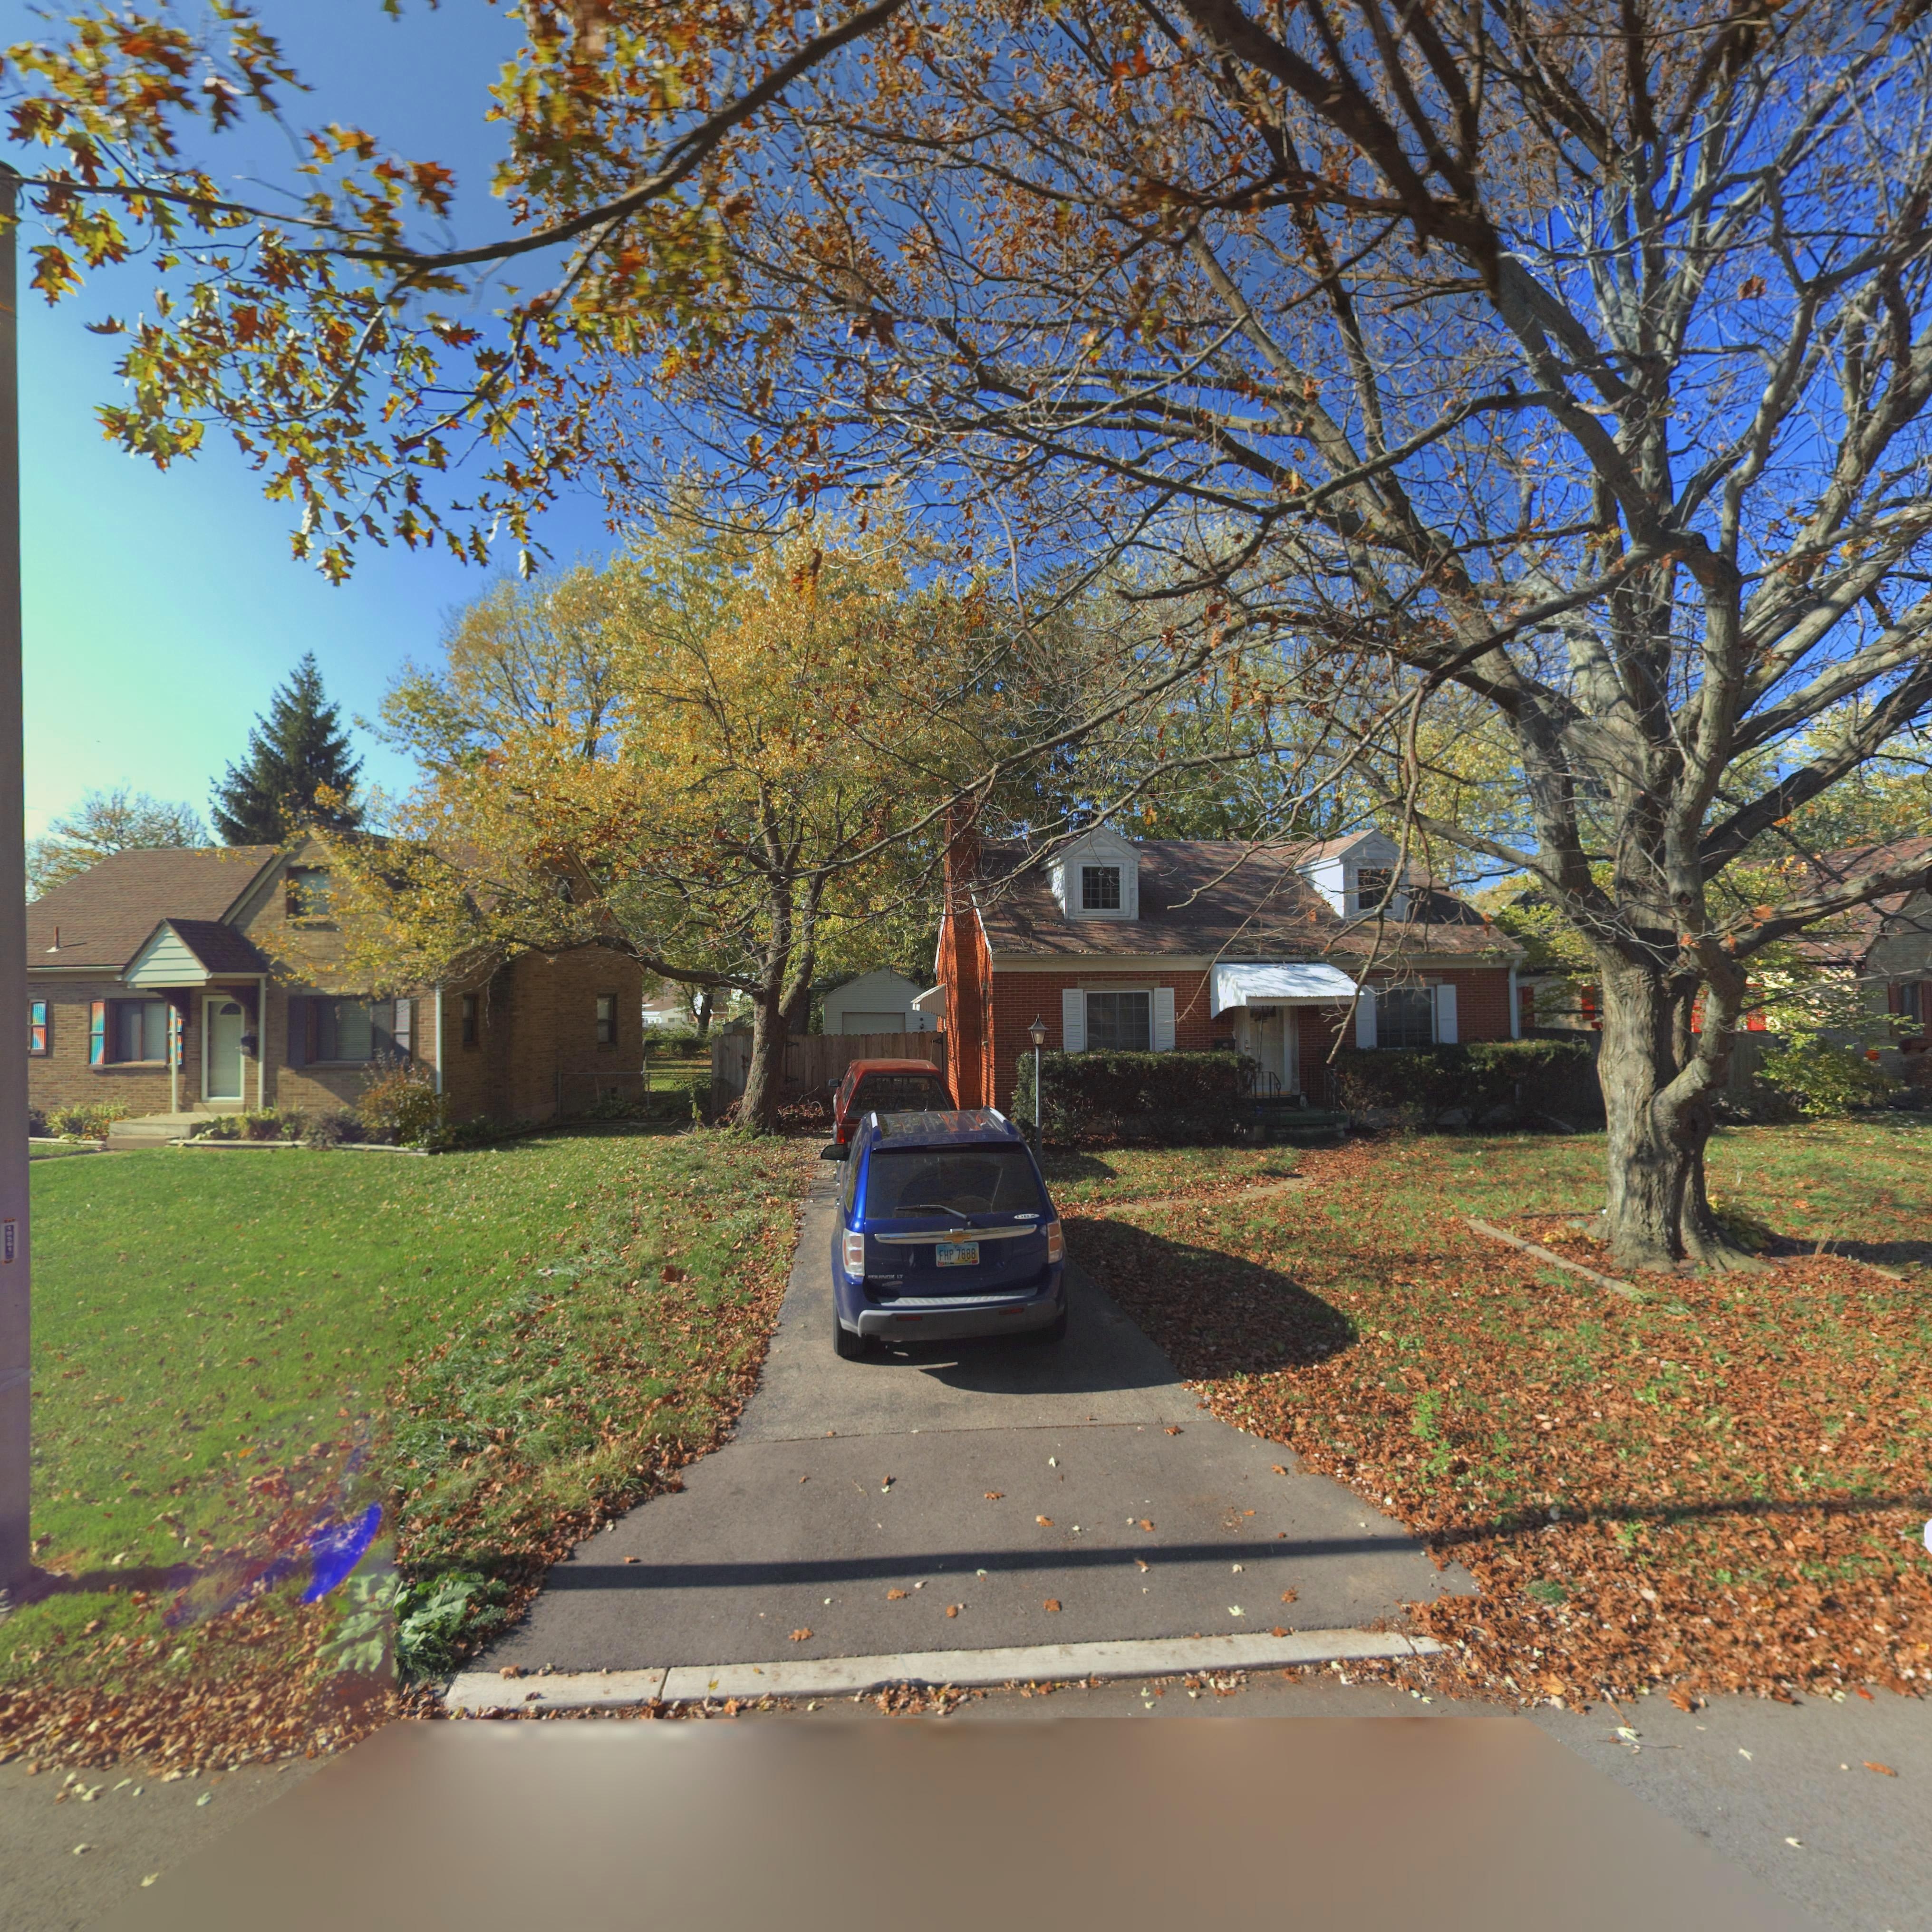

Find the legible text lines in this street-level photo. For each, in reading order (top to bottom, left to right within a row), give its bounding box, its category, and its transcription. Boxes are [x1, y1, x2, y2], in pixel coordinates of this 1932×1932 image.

[938, 1247, 976, 1262] None: FHP 7888
[868, 1274, 904, 1280] None: EQUINOX LT